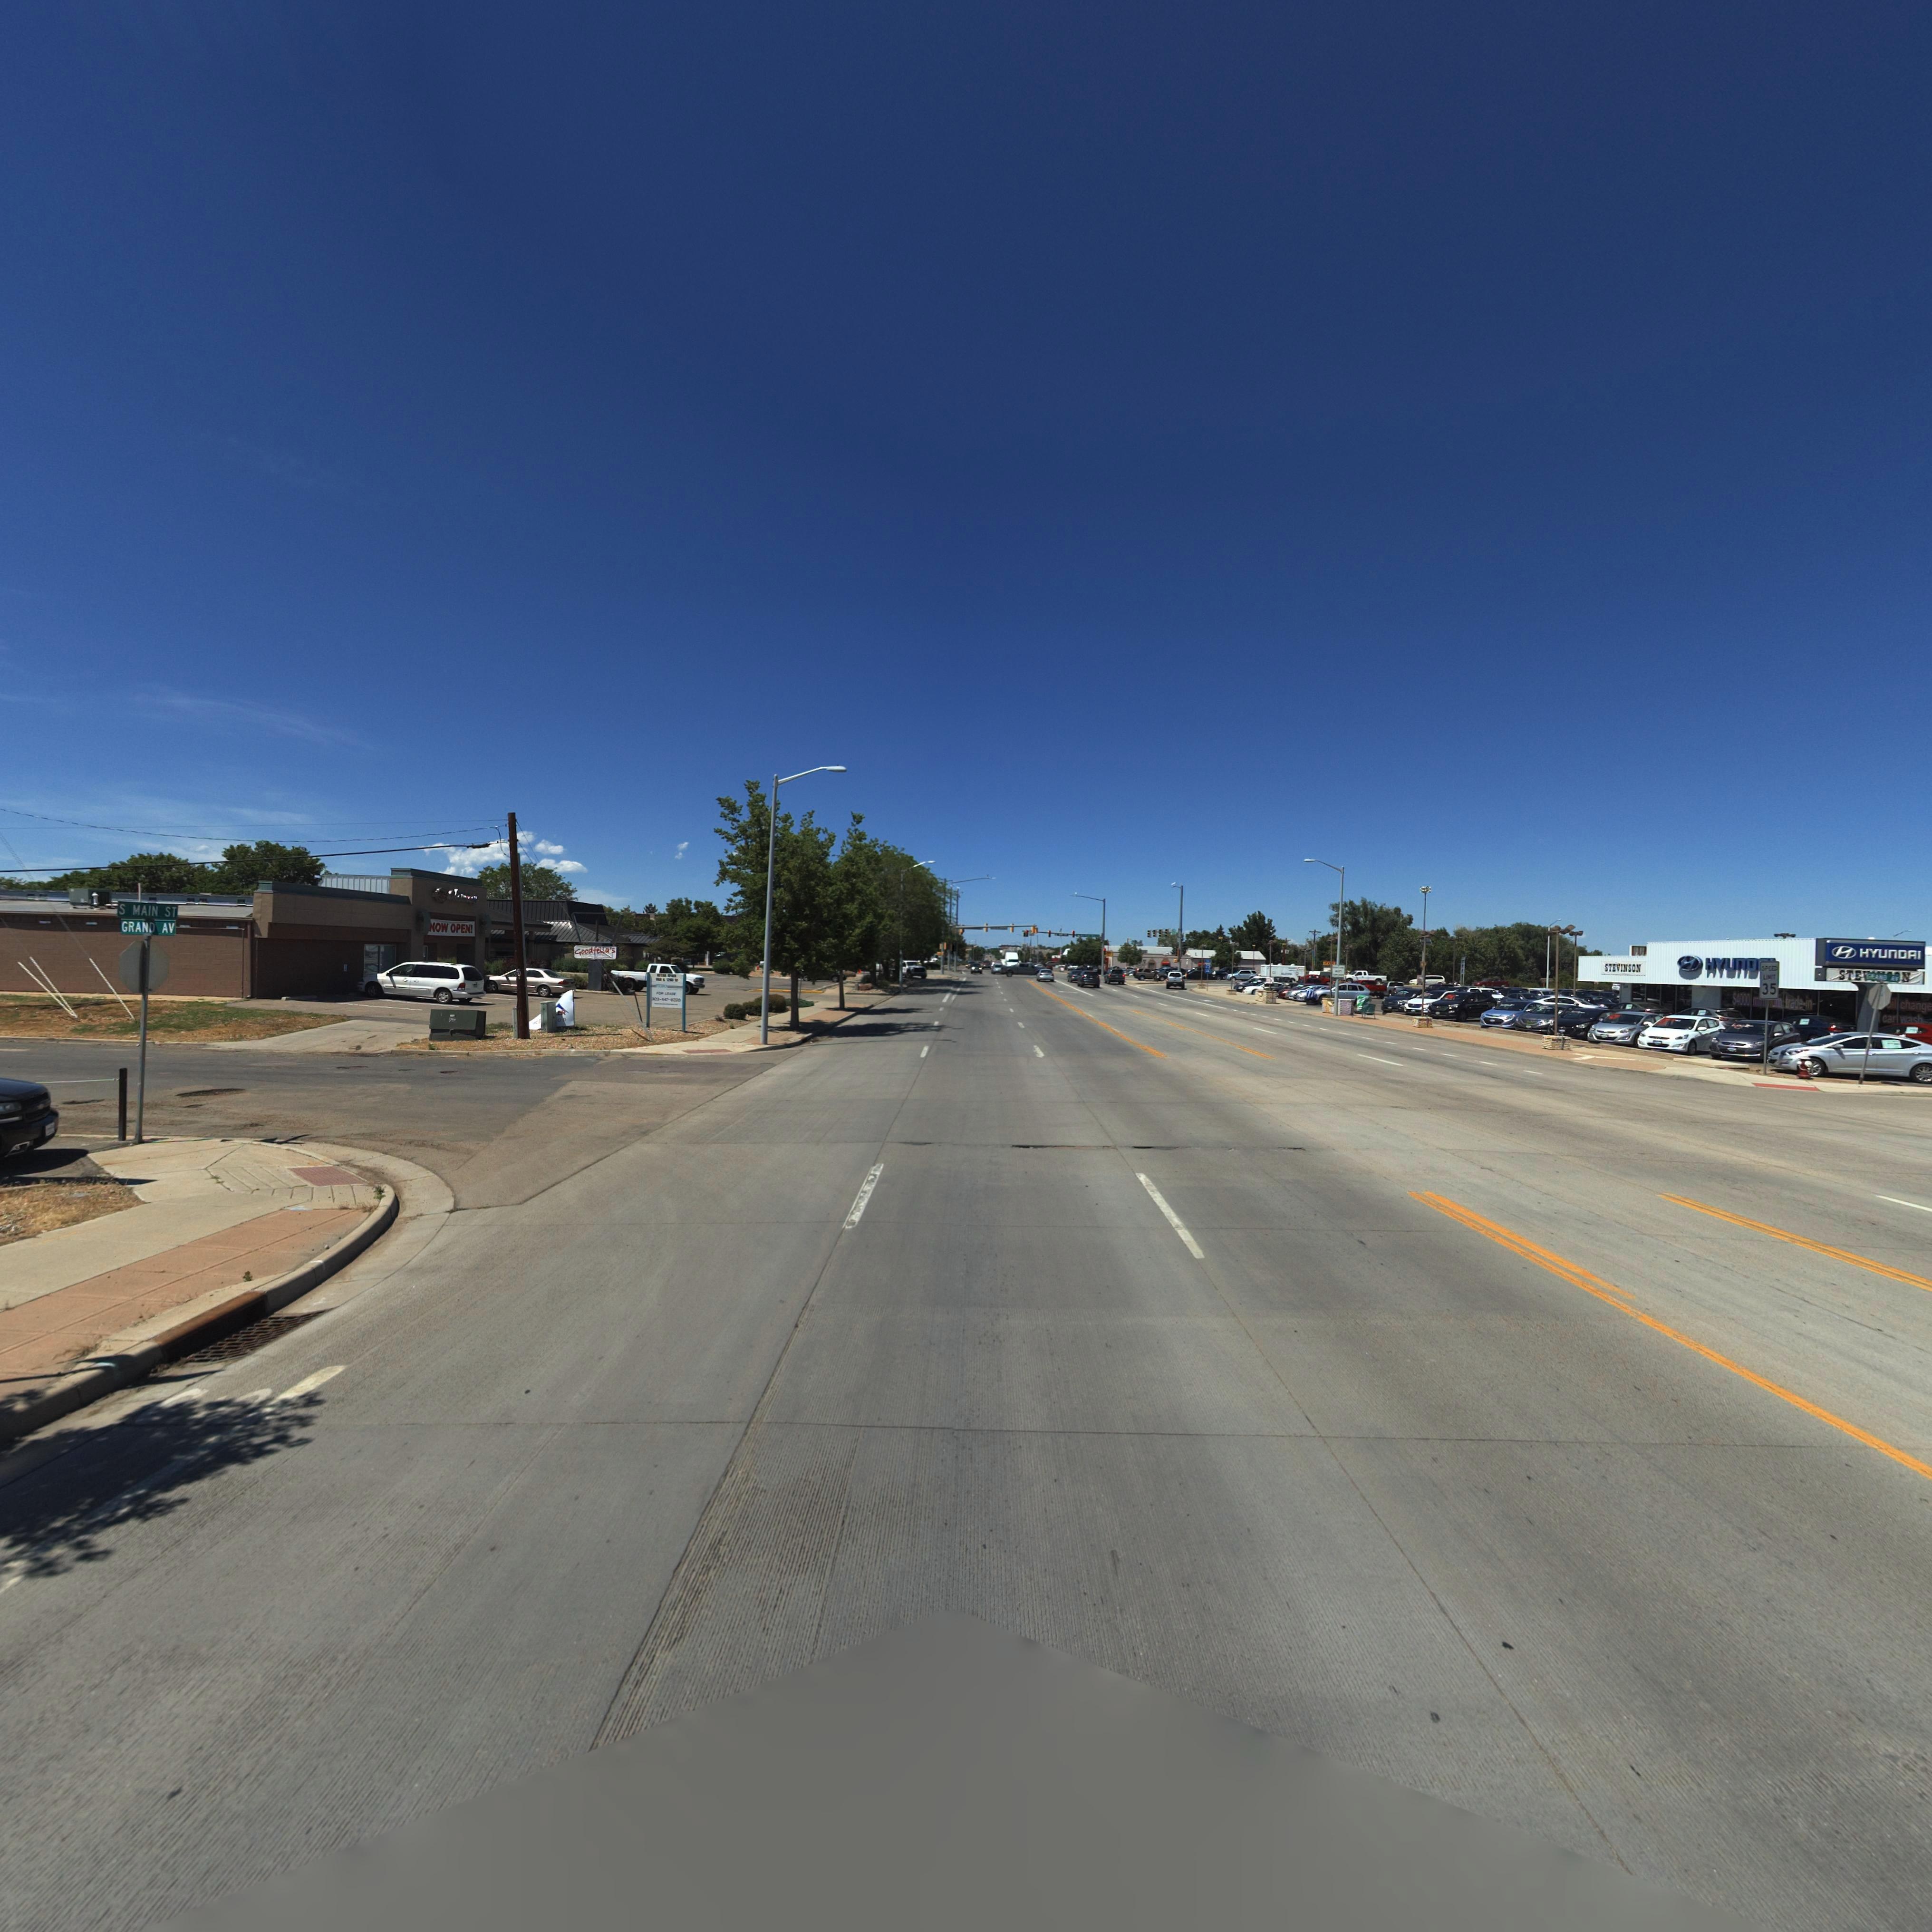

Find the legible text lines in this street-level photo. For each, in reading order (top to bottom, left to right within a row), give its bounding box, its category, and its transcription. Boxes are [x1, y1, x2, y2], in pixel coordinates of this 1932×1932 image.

[449, 888, 478, 905] BusinessName: P*****cy
[118, 903, 177, 918] StreetName: S MAIN ST
[121, 920, 175, 933] StreetName: GRAND AV
[574, 946, 615, 956] BusinessName: Goodfella's
[1859, 948, 1922, 960] BusinessName: HYUNDAI
[1323, 961, 1334, 965] BusinessName: *O*
[1604, 963, 1641, 972] BusinessName: STEVIN*ON
[1705, 957, 1775, 971] BusinessName: HYUND**
[1838, 969, 1911, 983] BusinessName: STE*****N
[1866, 973, 1899, 981] StreetName: G*AN* AV